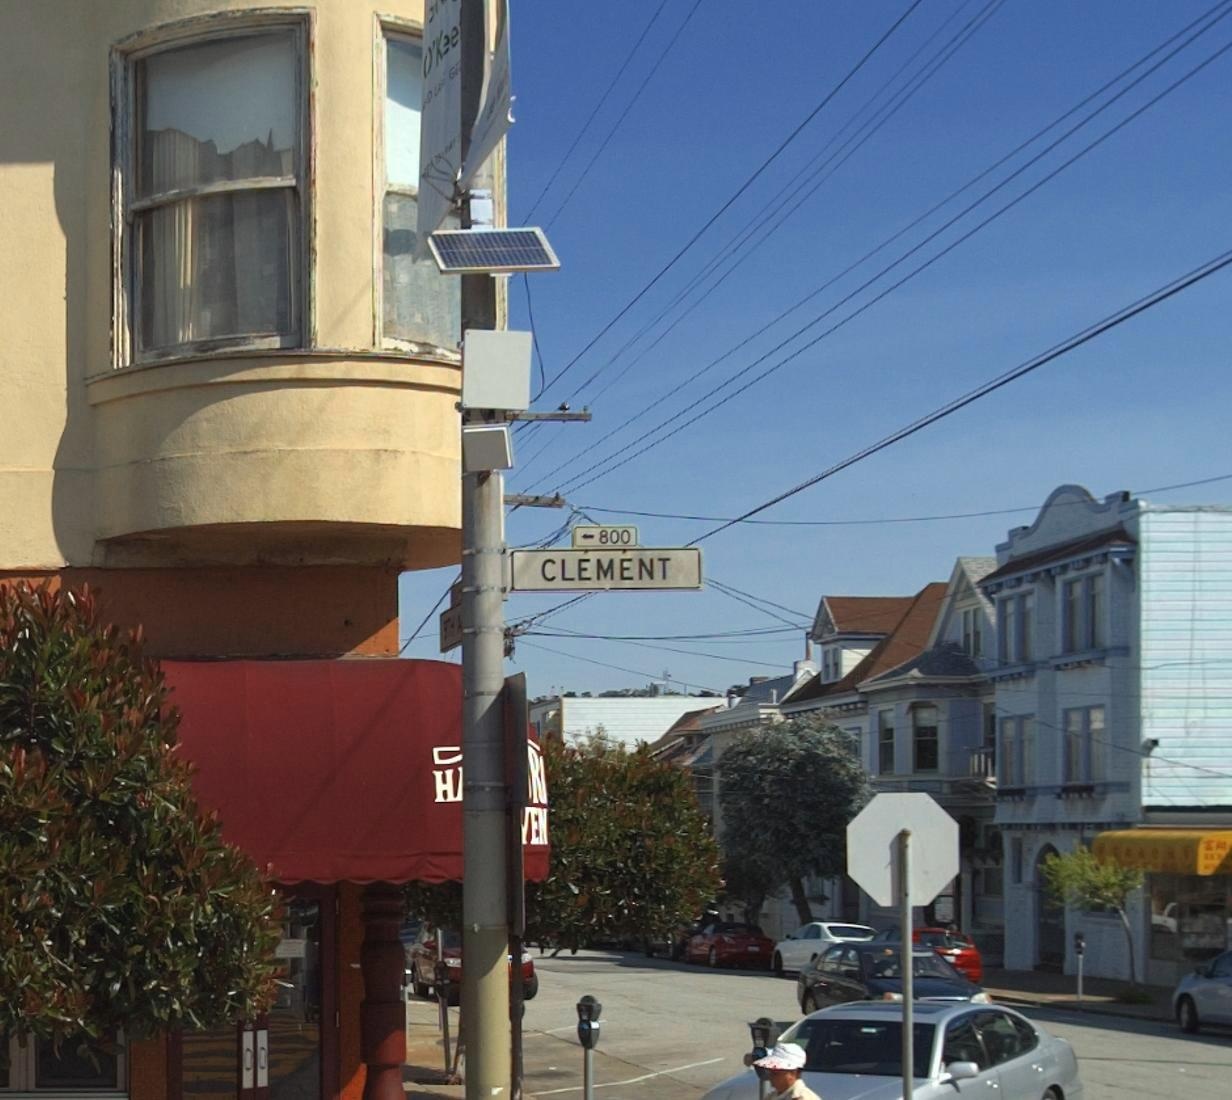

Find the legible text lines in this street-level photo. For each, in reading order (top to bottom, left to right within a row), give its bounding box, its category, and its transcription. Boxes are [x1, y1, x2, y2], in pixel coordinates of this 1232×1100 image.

[574, 526, 634, 547] StreetNumberRange: <-800
[538, 552, 674, 584] StreetName: CLEMENT
[422, 759, 458, 805] None: H
[528, 808, 551, 846] None: EN